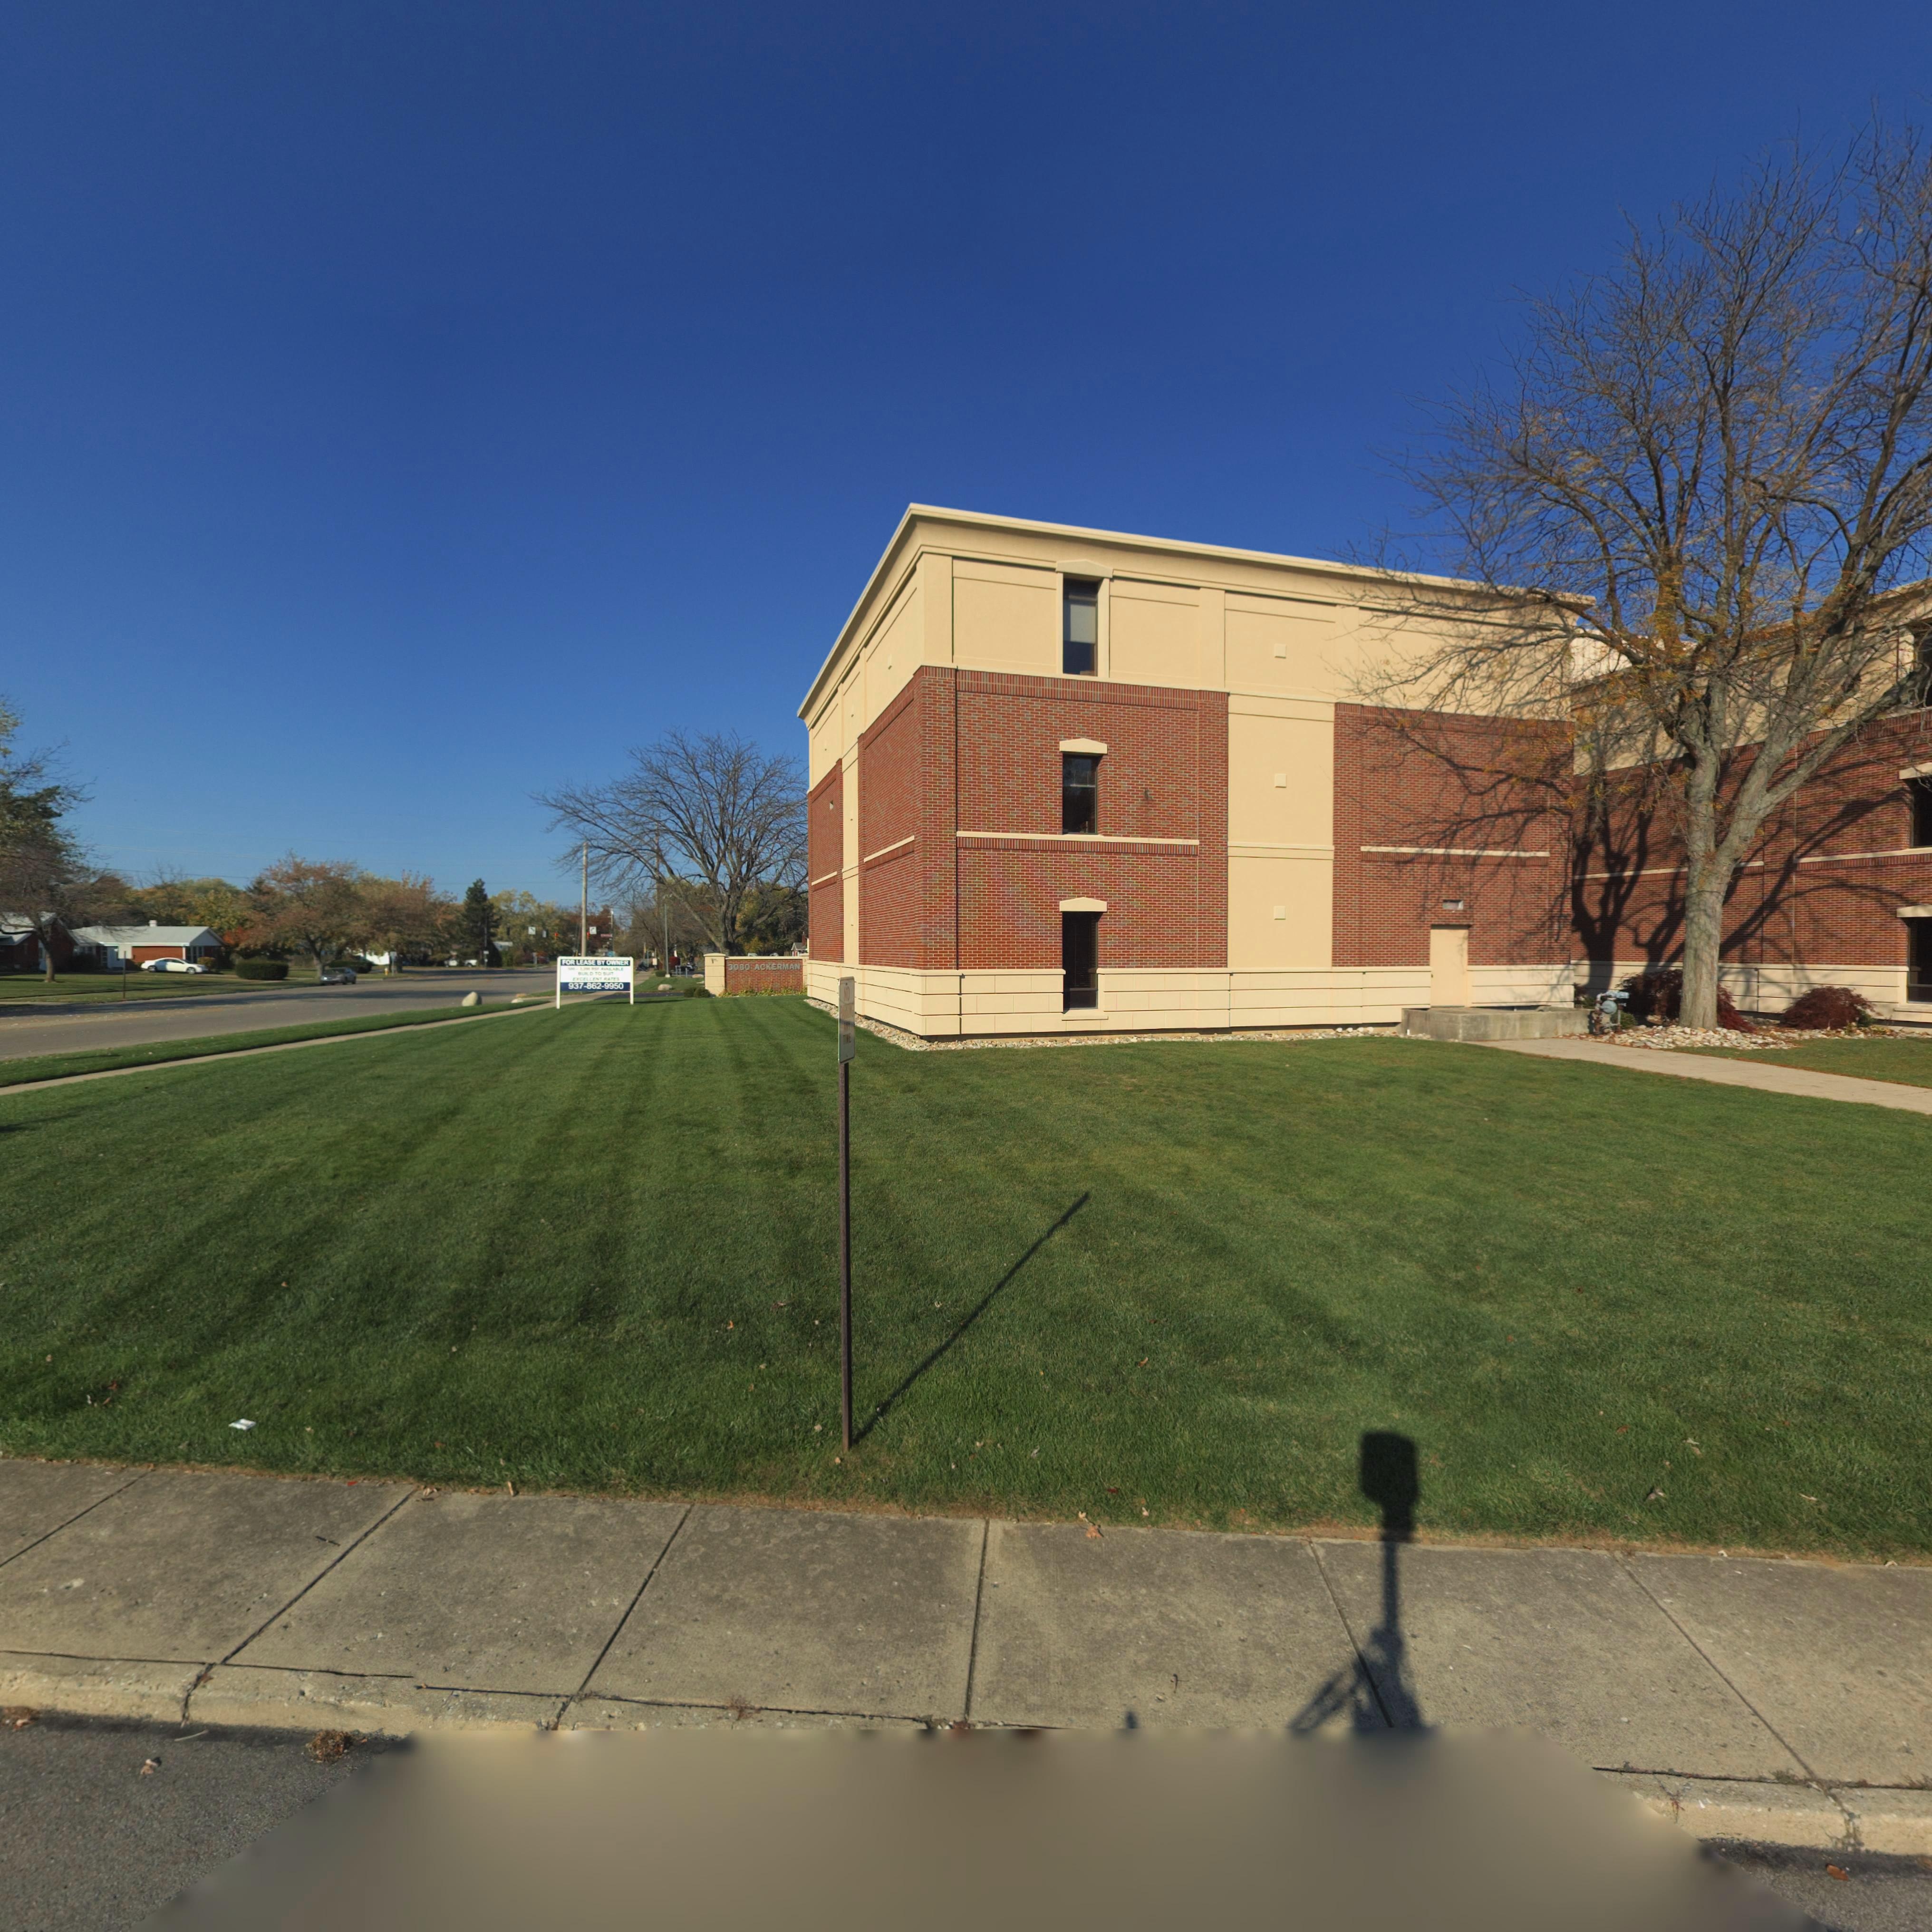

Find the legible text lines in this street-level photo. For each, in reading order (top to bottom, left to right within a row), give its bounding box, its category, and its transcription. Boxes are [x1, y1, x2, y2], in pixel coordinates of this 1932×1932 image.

[727, 964, 750, 971] StreetNumber: 3080
[753, 963, 801, 971] StreetName: ACKERMAN